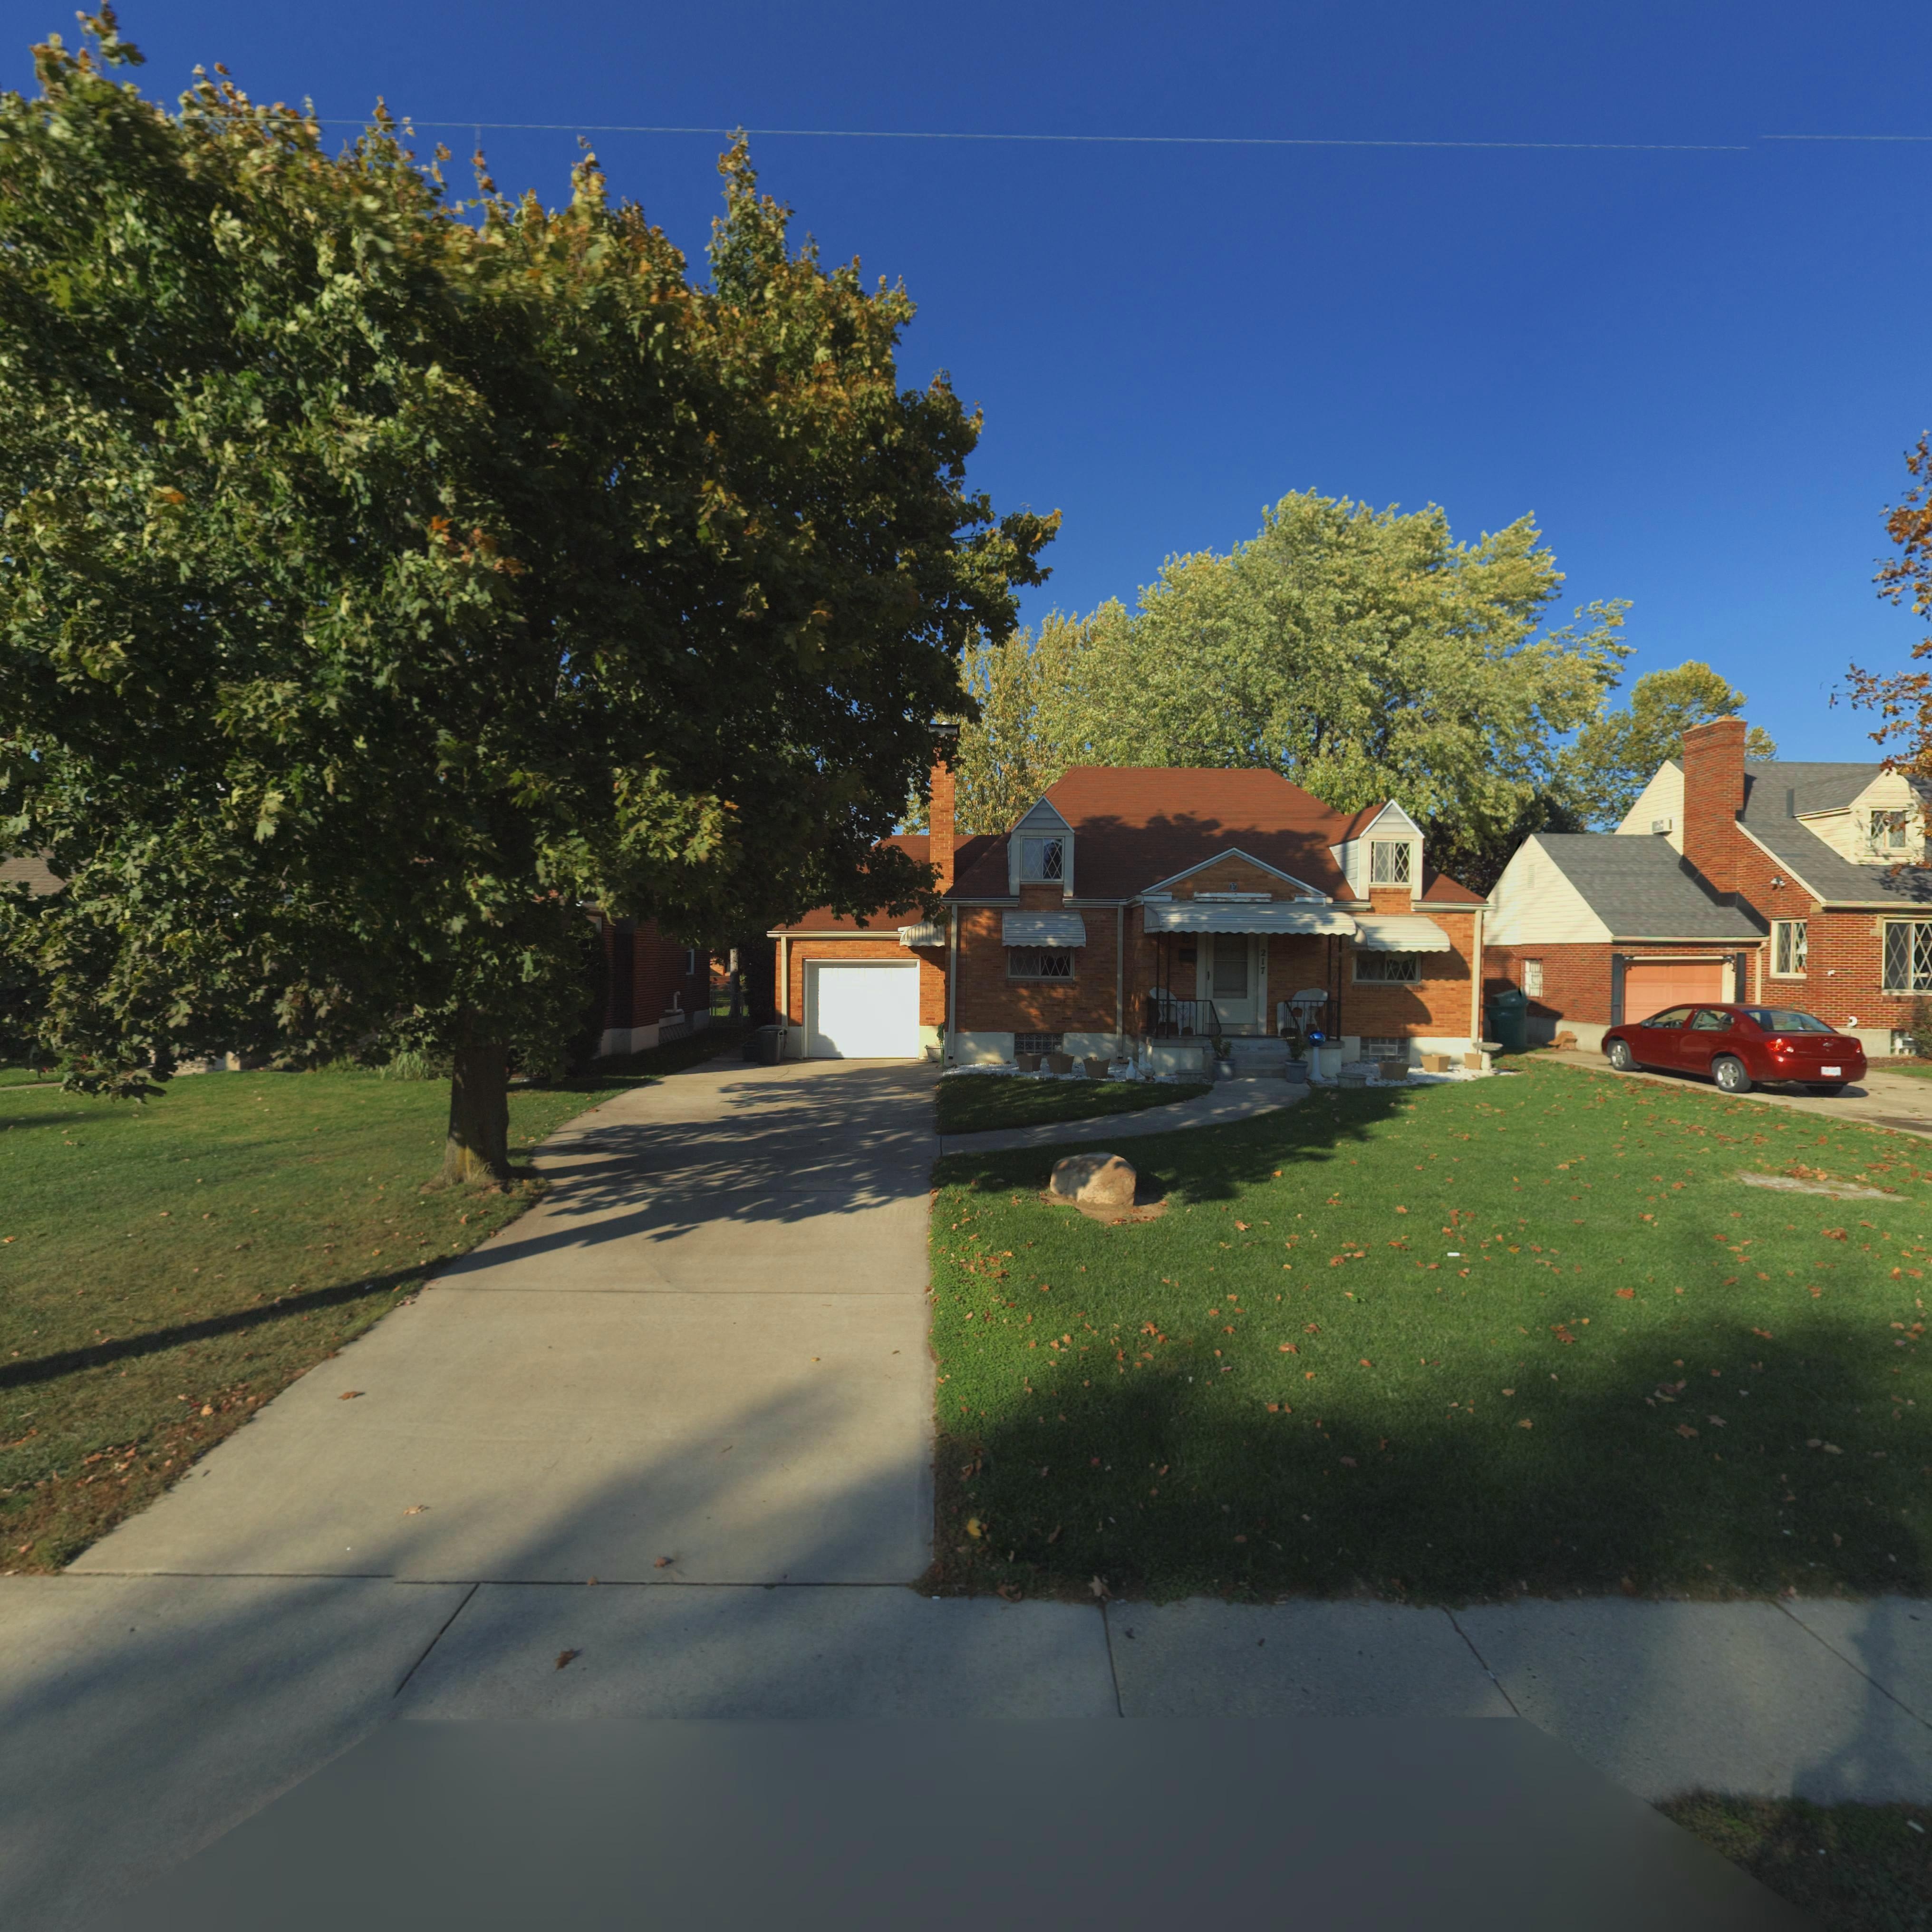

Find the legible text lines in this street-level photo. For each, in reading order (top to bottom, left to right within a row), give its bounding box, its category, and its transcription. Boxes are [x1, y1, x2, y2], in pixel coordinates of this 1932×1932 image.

[1259, 947, 1267, 976] StreetNumber: 217